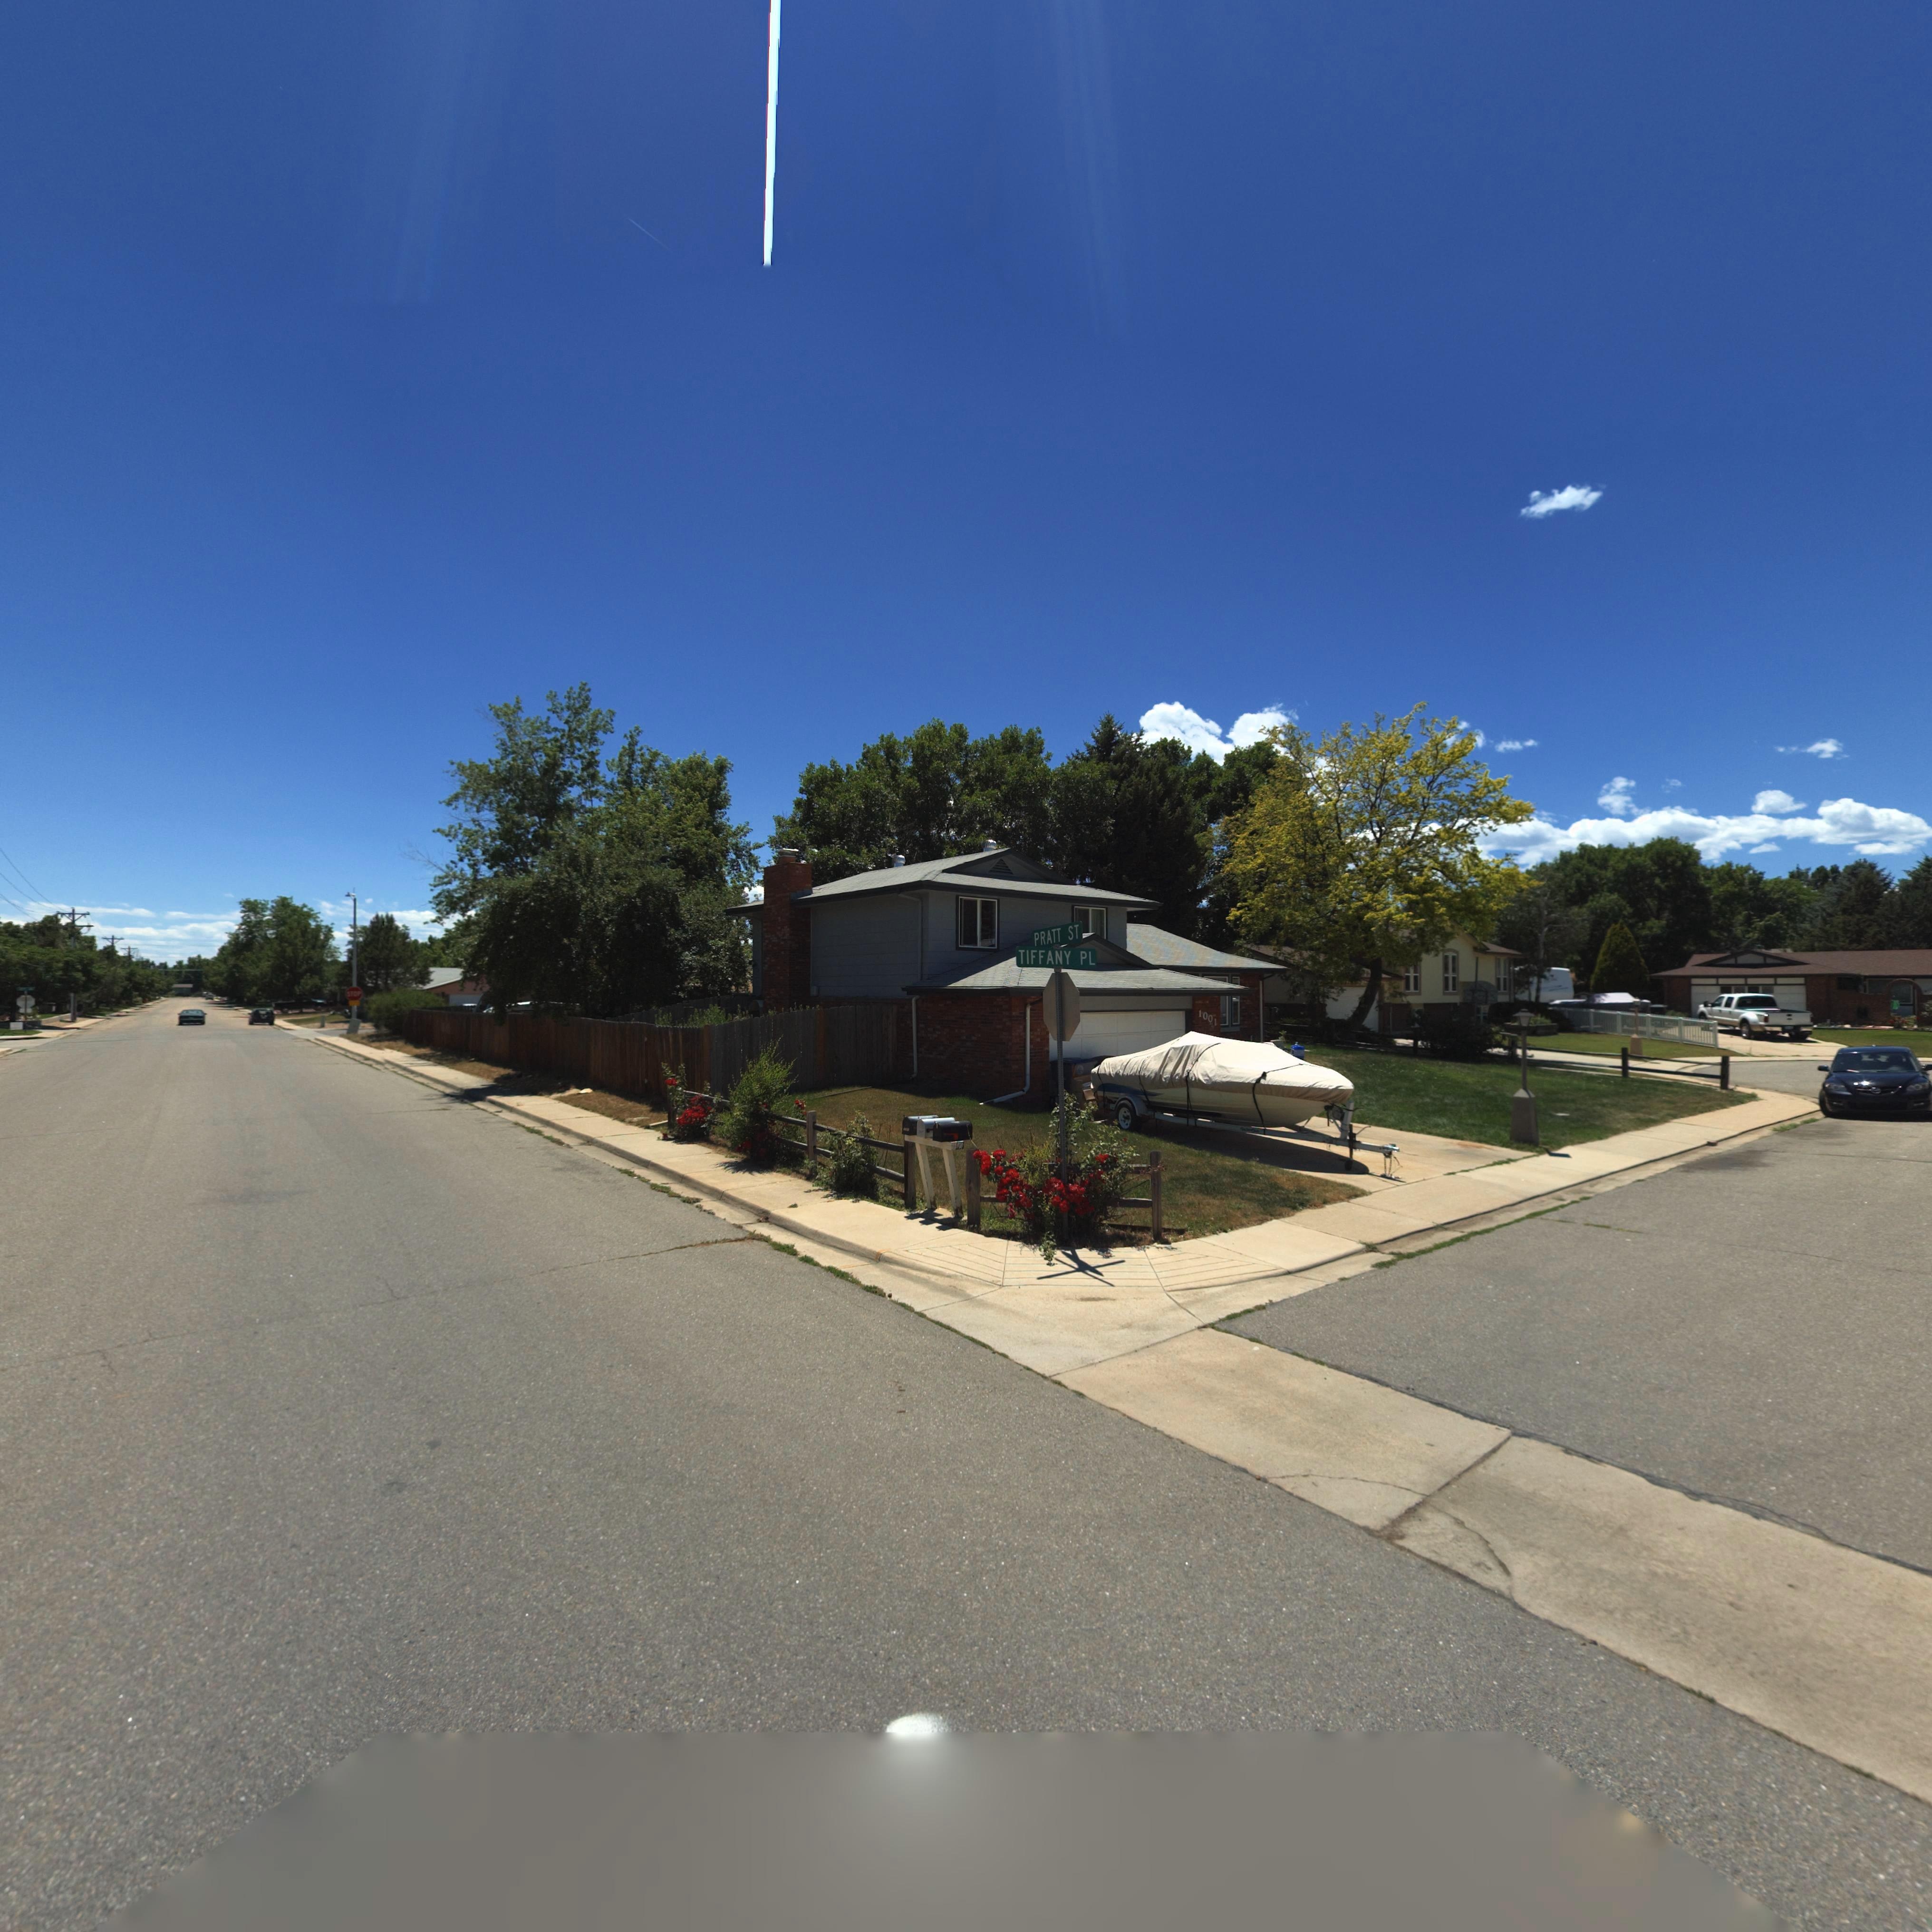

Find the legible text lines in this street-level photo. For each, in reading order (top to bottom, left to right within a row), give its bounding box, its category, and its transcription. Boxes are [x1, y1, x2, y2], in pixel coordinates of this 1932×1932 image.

[1034, 924, 1079, 947] StreetName: PRATT ST
[1018, 949, 1095, 966] StreetName: TIFFANY PL
[1198, 1009, 1217, 1026] StreetNumber: 1001